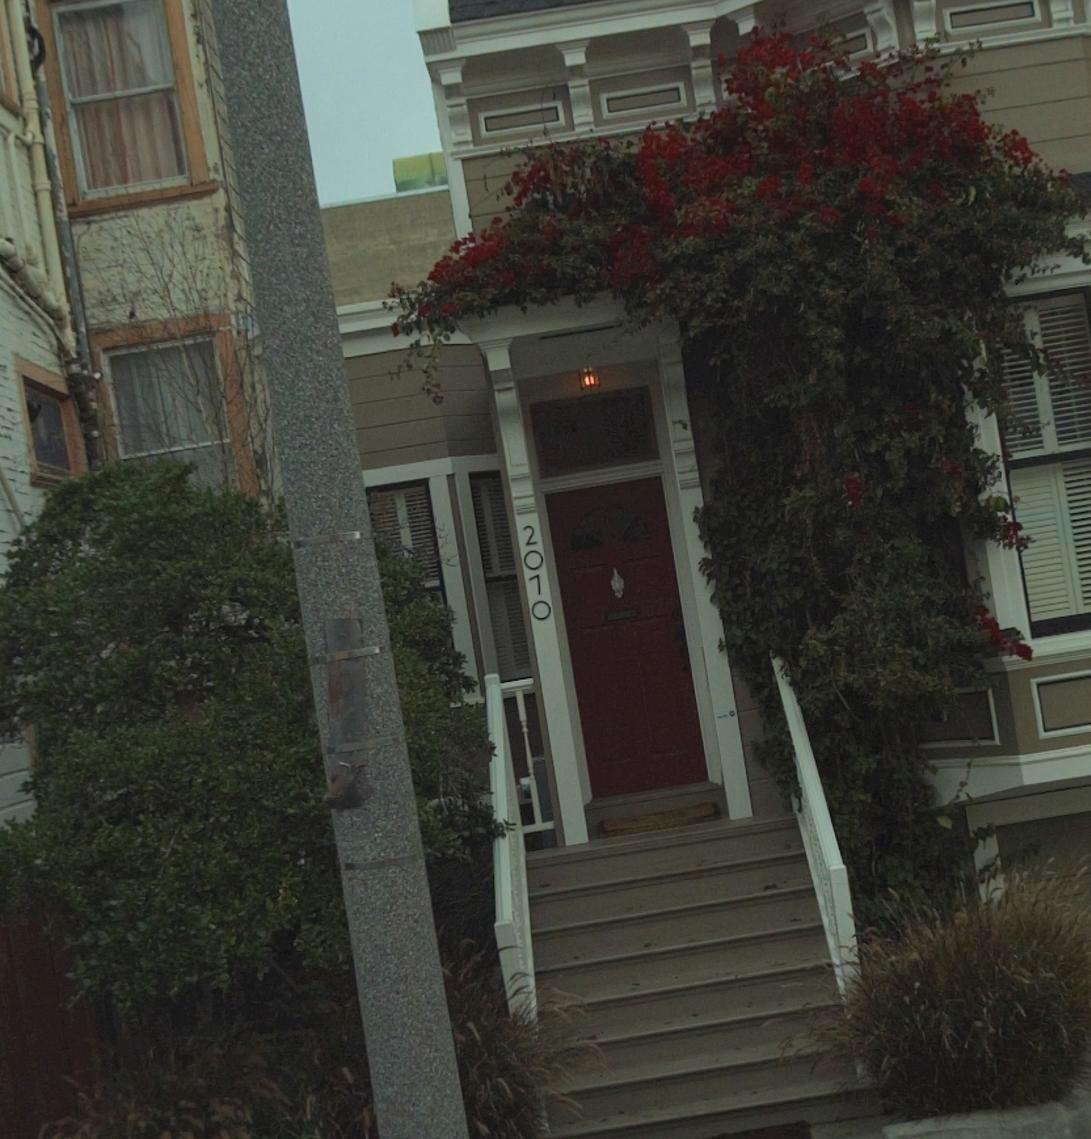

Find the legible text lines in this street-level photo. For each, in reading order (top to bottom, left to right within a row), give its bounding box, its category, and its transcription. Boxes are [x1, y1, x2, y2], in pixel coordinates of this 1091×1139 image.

[518, 523, 555, 625] StreetNumber: 2010
[332, 668, 357, 699] None: 0